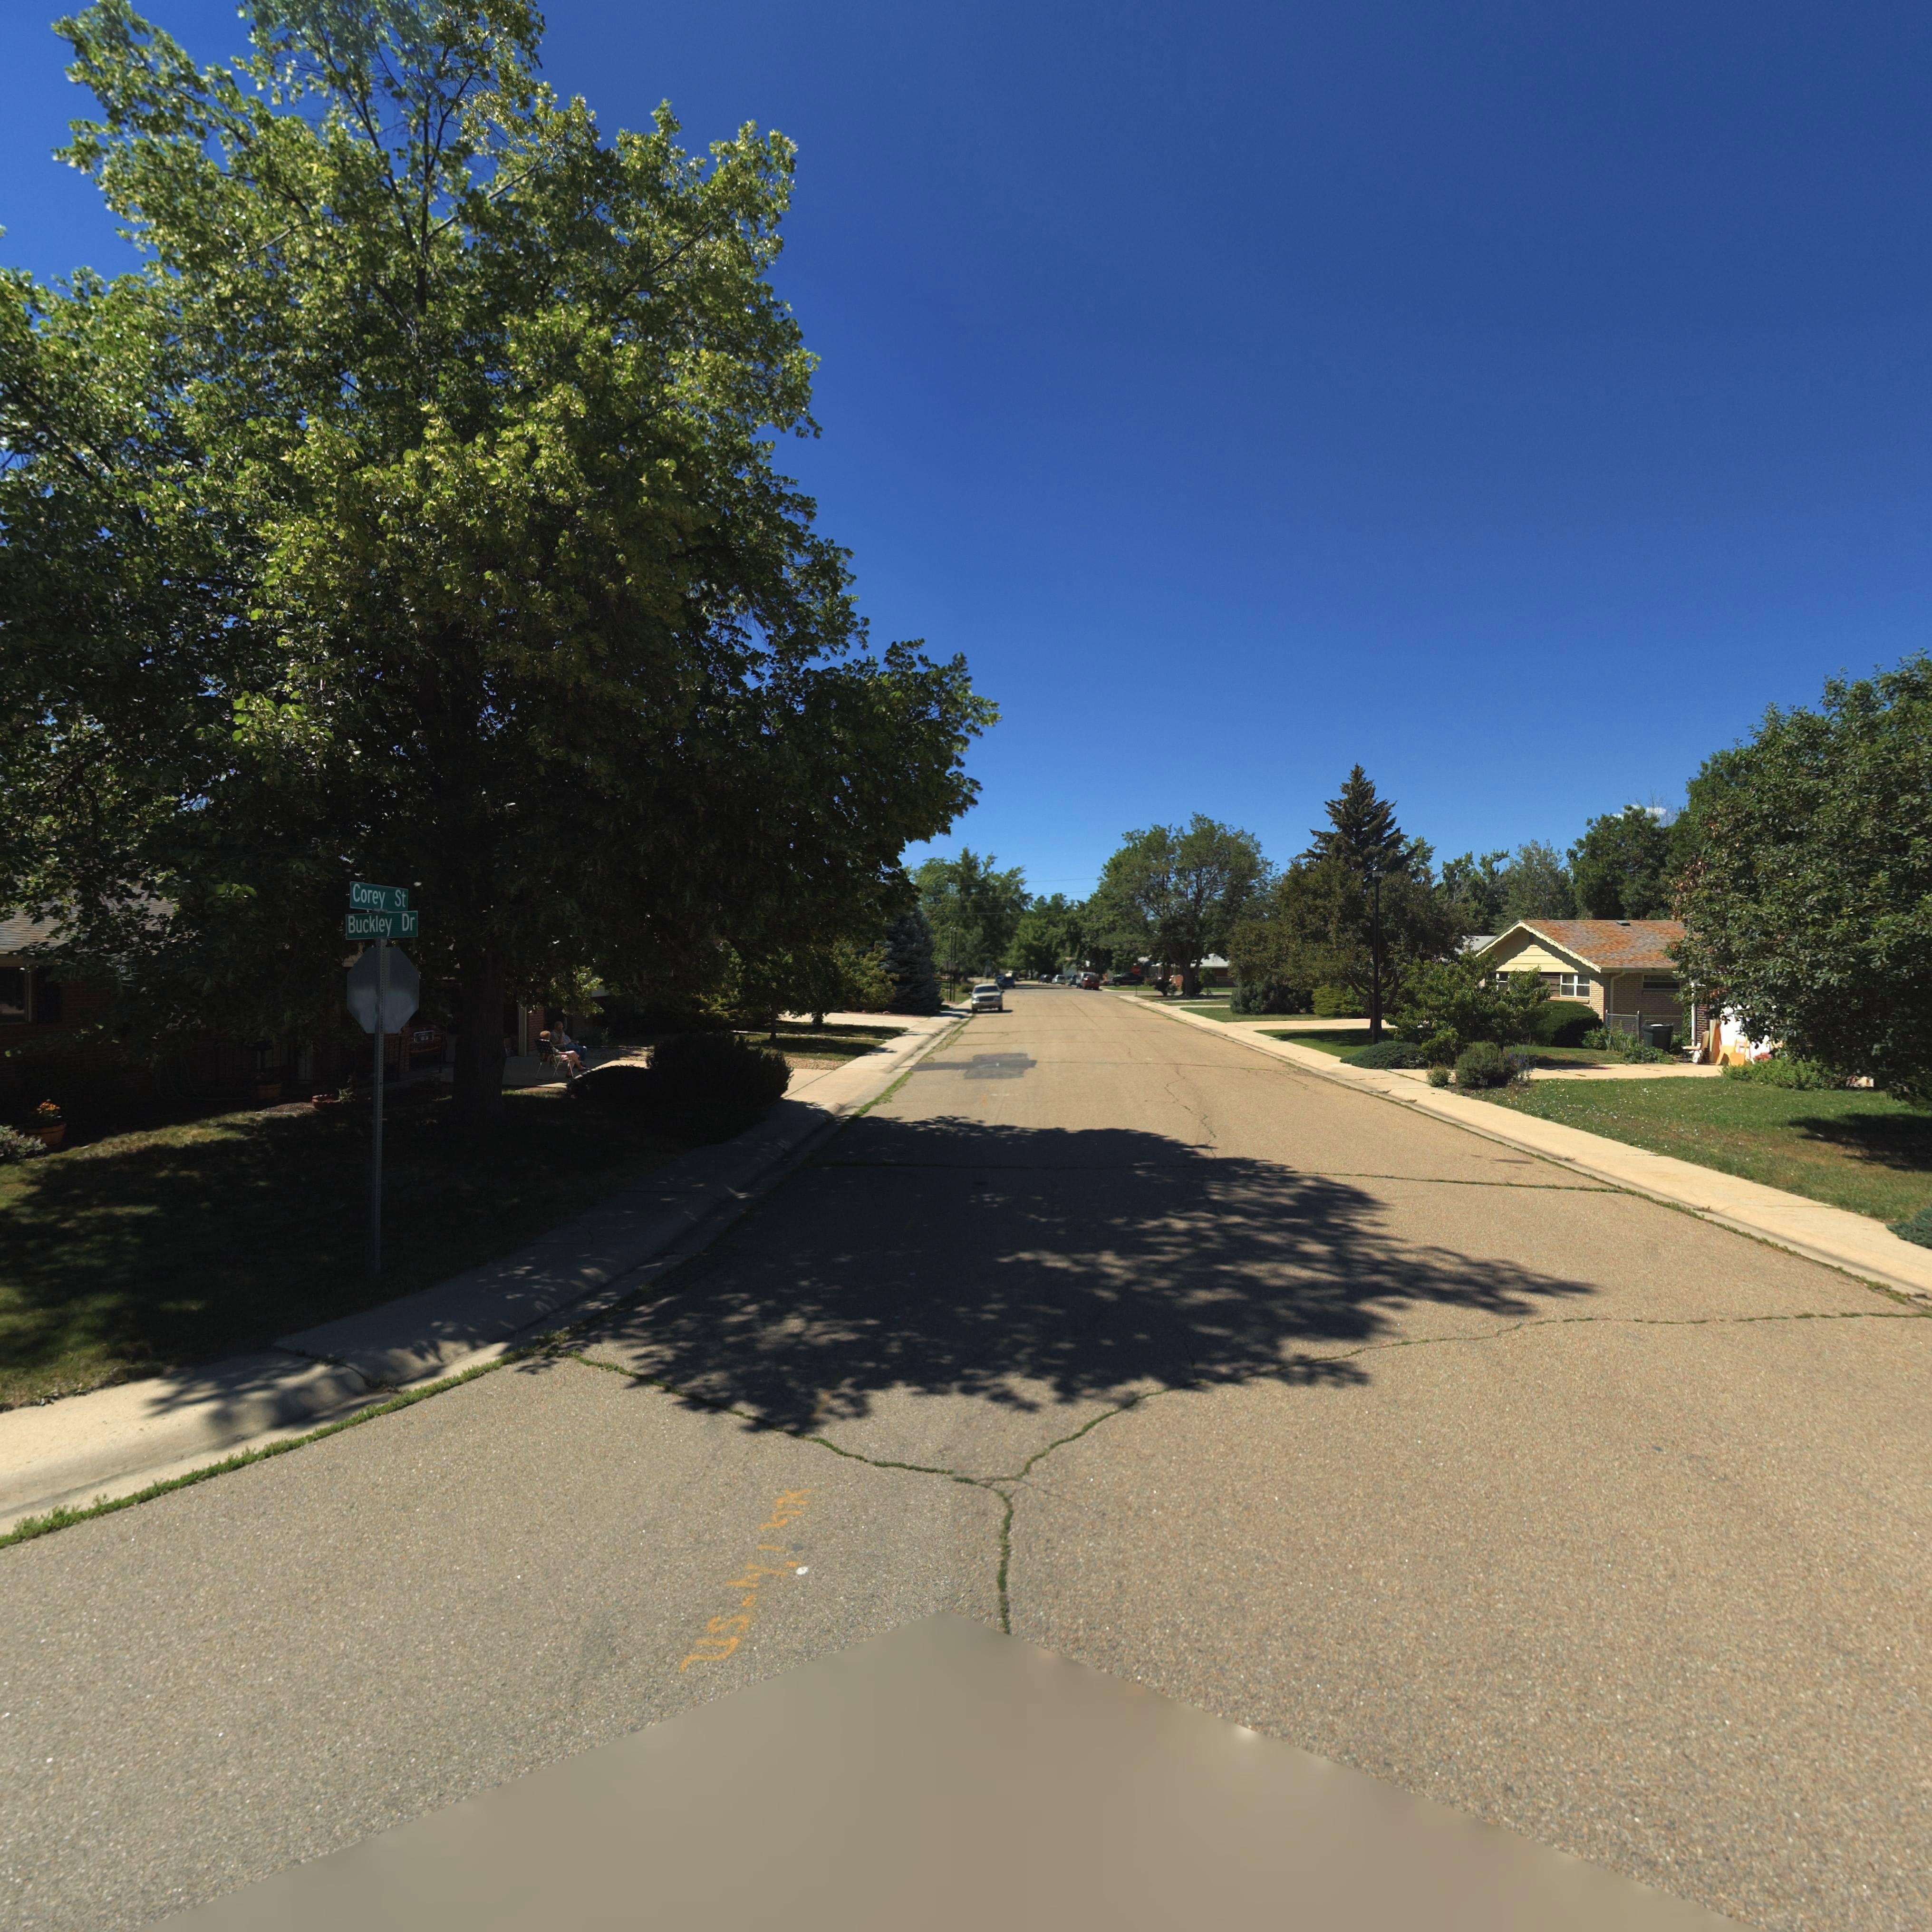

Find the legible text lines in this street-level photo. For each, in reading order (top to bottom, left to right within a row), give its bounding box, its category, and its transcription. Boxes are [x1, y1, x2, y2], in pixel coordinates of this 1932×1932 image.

[352, 883, 406, 909] StreetName: Corey St
[347, 912, 415, 936] StreetName: Buckley Dr